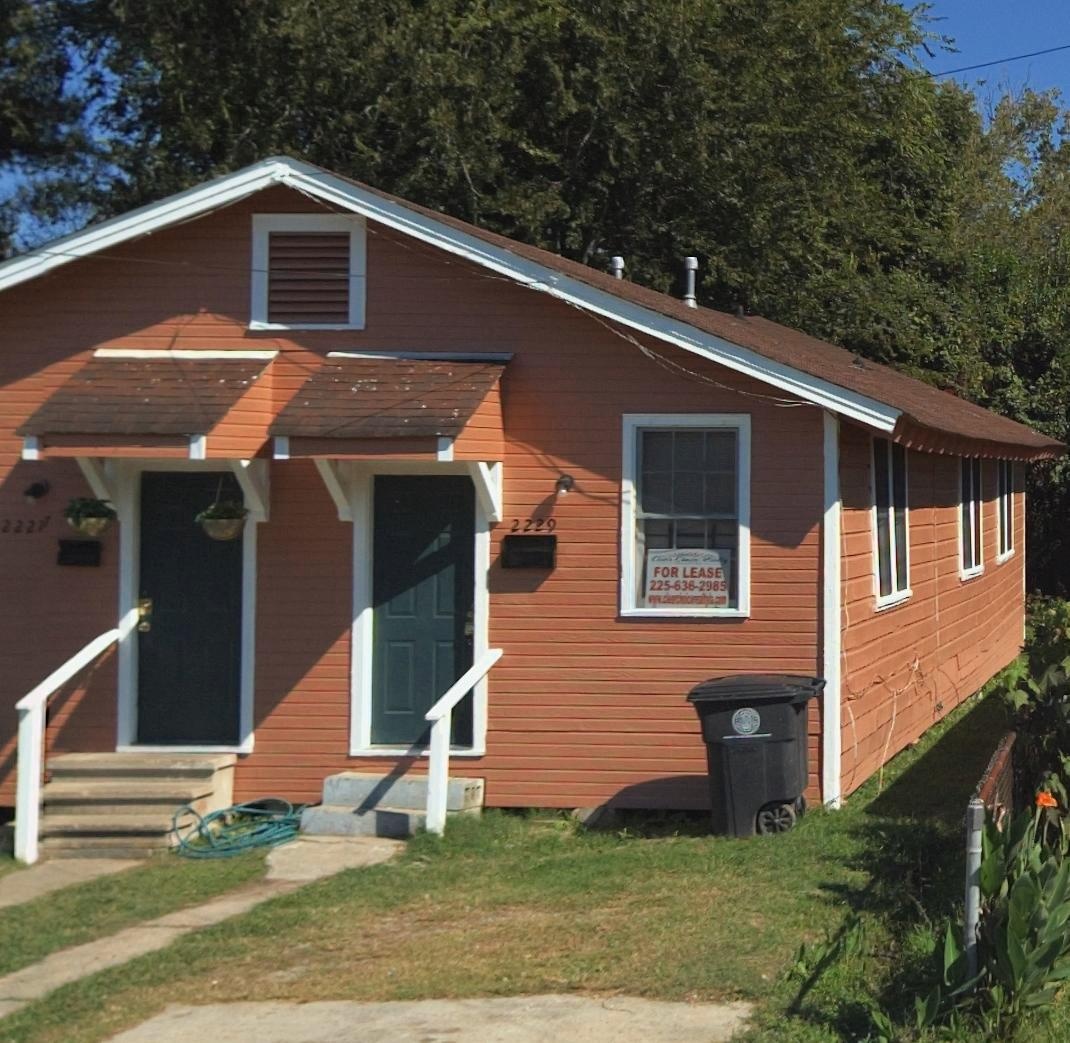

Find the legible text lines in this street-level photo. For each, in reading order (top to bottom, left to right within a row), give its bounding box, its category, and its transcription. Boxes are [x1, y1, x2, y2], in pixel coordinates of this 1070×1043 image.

[0, 512, 54, 535] StreetNumber: 222*
[508, 516, 560, 535] StreetNumber: 2229
[652, 564, 725, 581] None: FOR LEASE
[647, 578, 729, 593] None: 225-636-2985